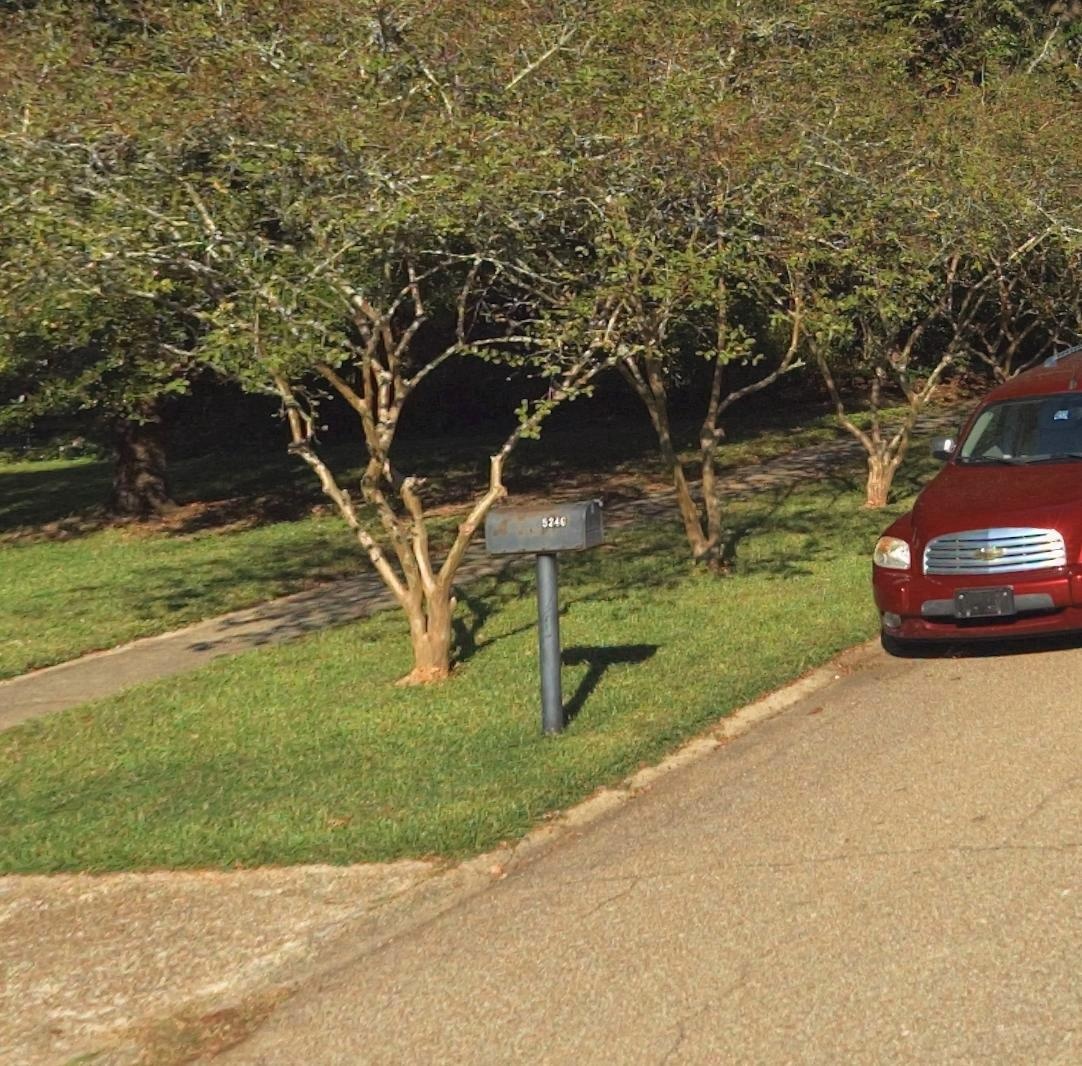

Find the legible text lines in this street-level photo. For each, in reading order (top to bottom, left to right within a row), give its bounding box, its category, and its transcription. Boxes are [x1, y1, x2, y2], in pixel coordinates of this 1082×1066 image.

[540, 514, 569, 531] StreetNumber: 524*